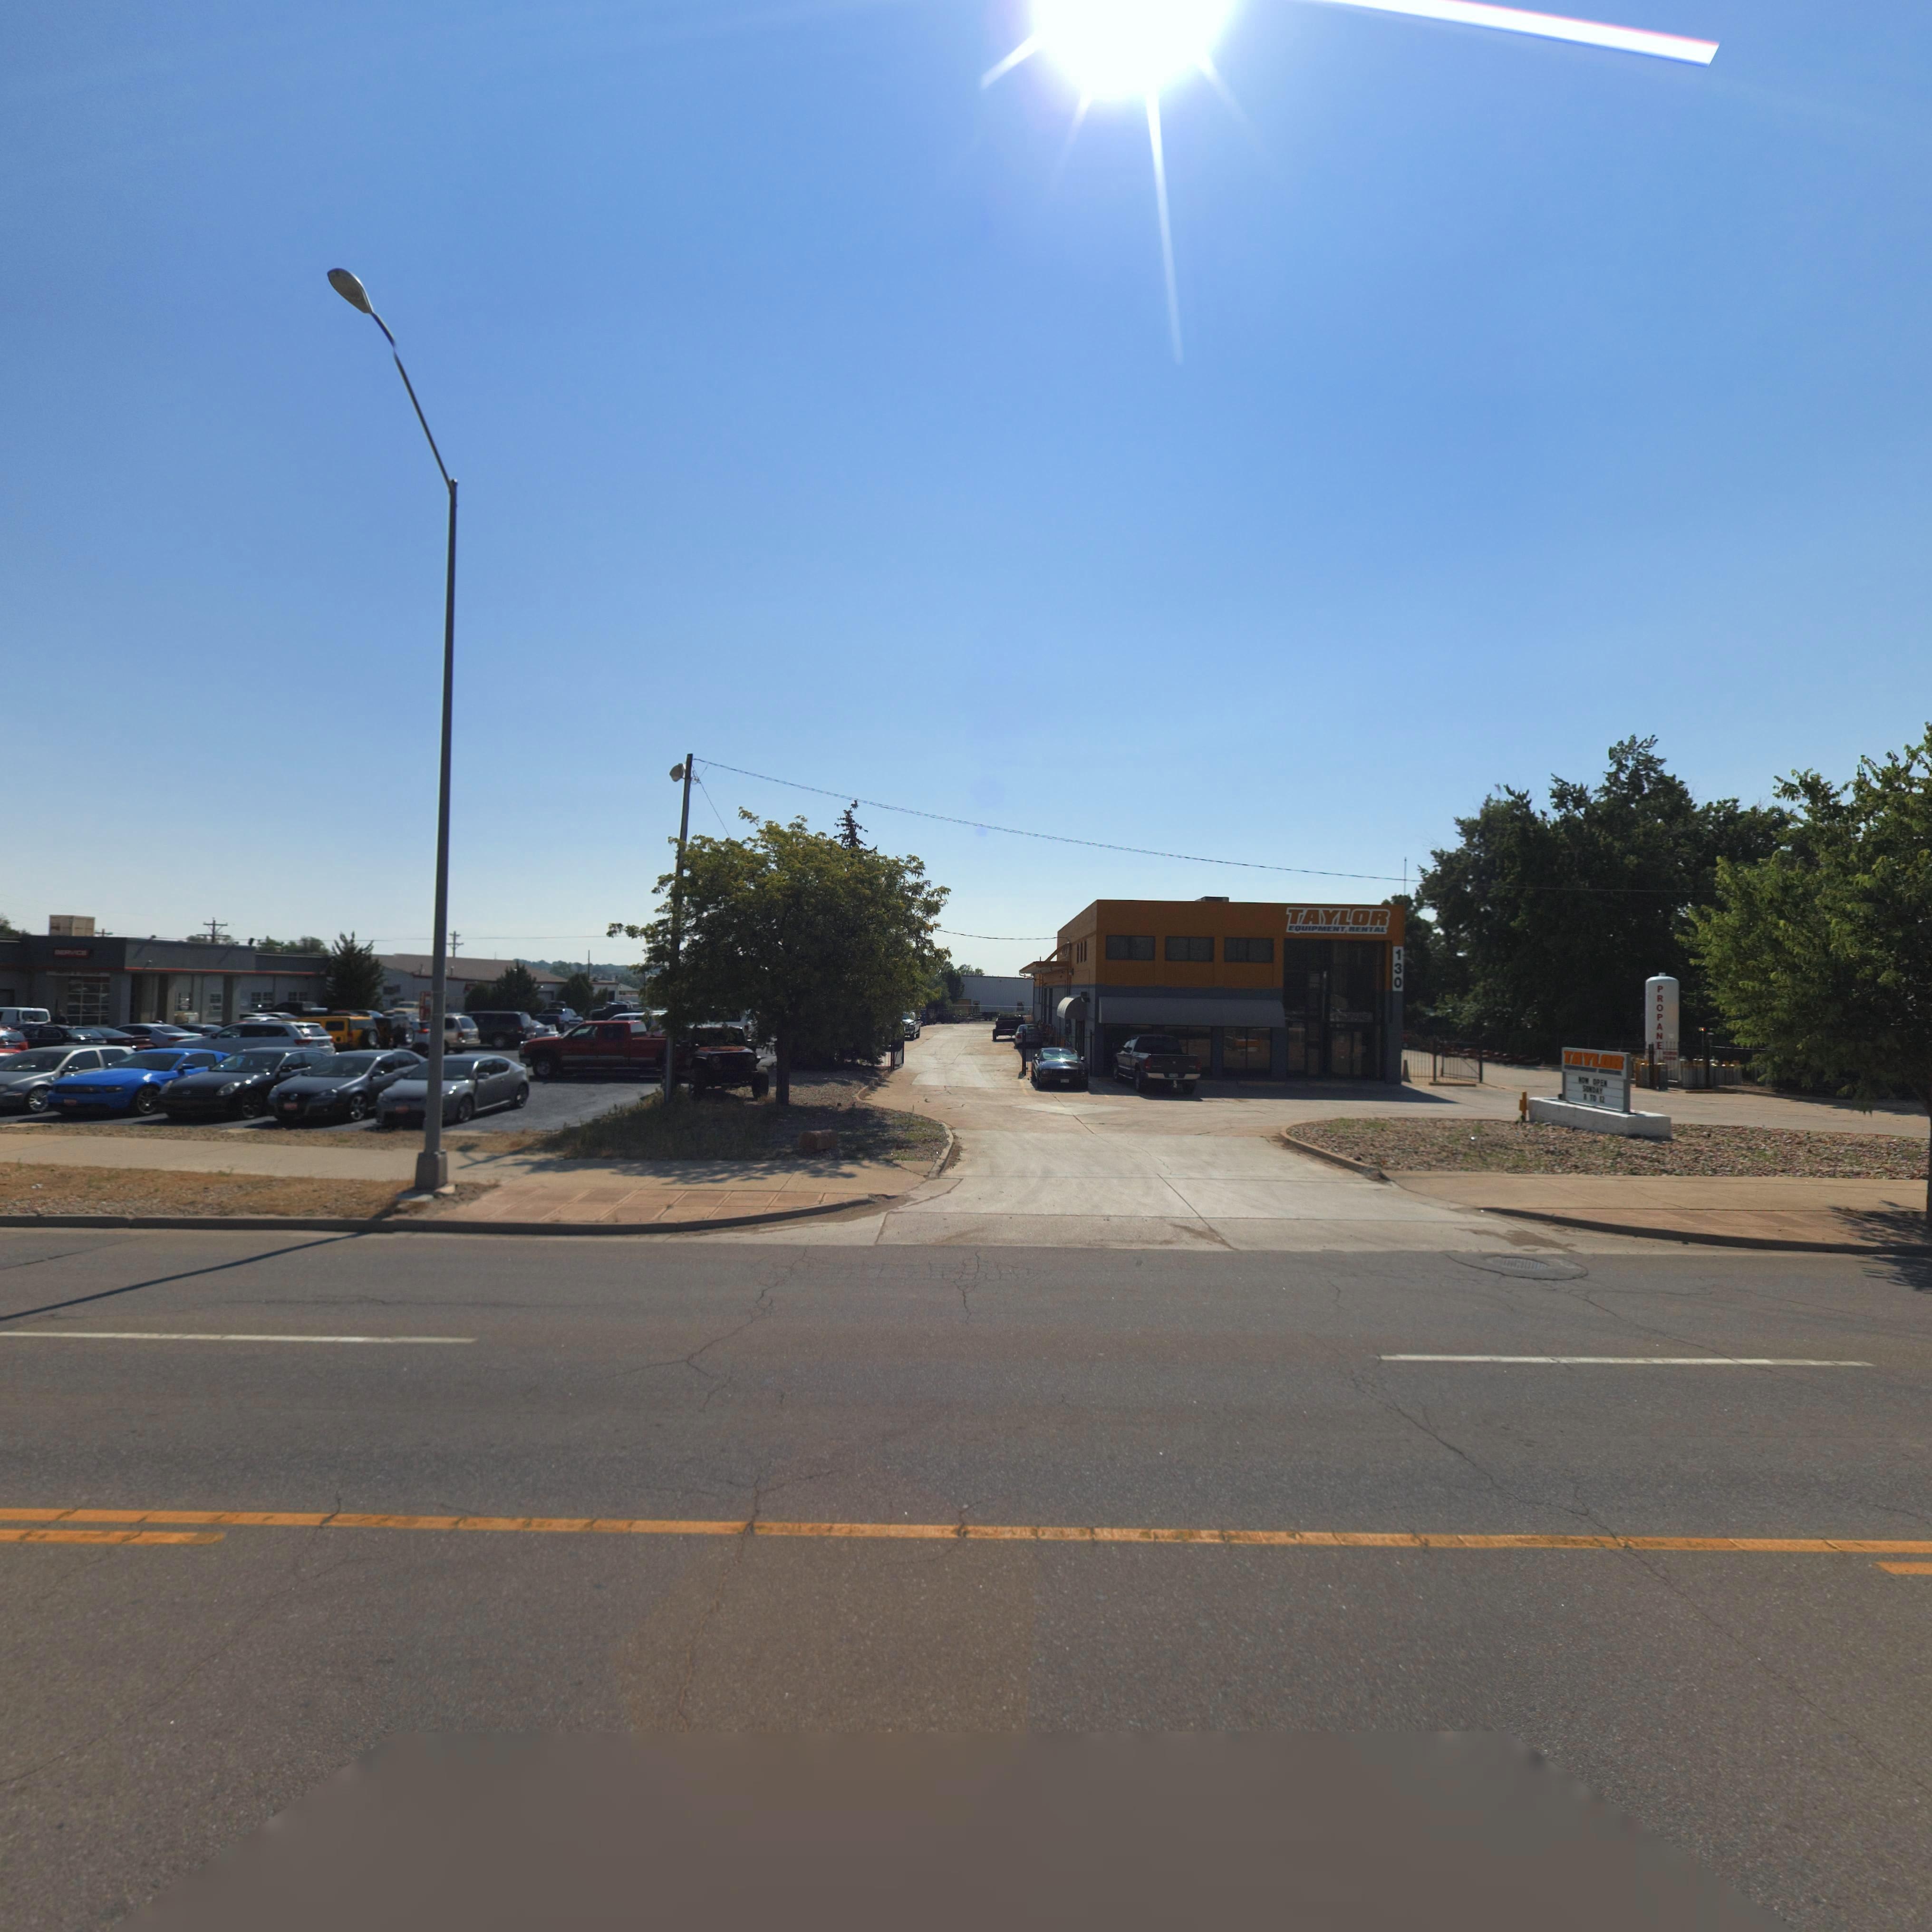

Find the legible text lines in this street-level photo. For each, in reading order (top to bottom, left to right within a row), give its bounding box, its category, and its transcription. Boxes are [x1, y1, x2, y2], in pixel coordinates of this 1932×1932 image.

[1287, 908, 1389, 926] BusinessName: TAYLOR
[1393, 948, 1402, 988] StreetNumber: 130
[1563, 1050, 1624, 1070] BusinessName: TAYLOR